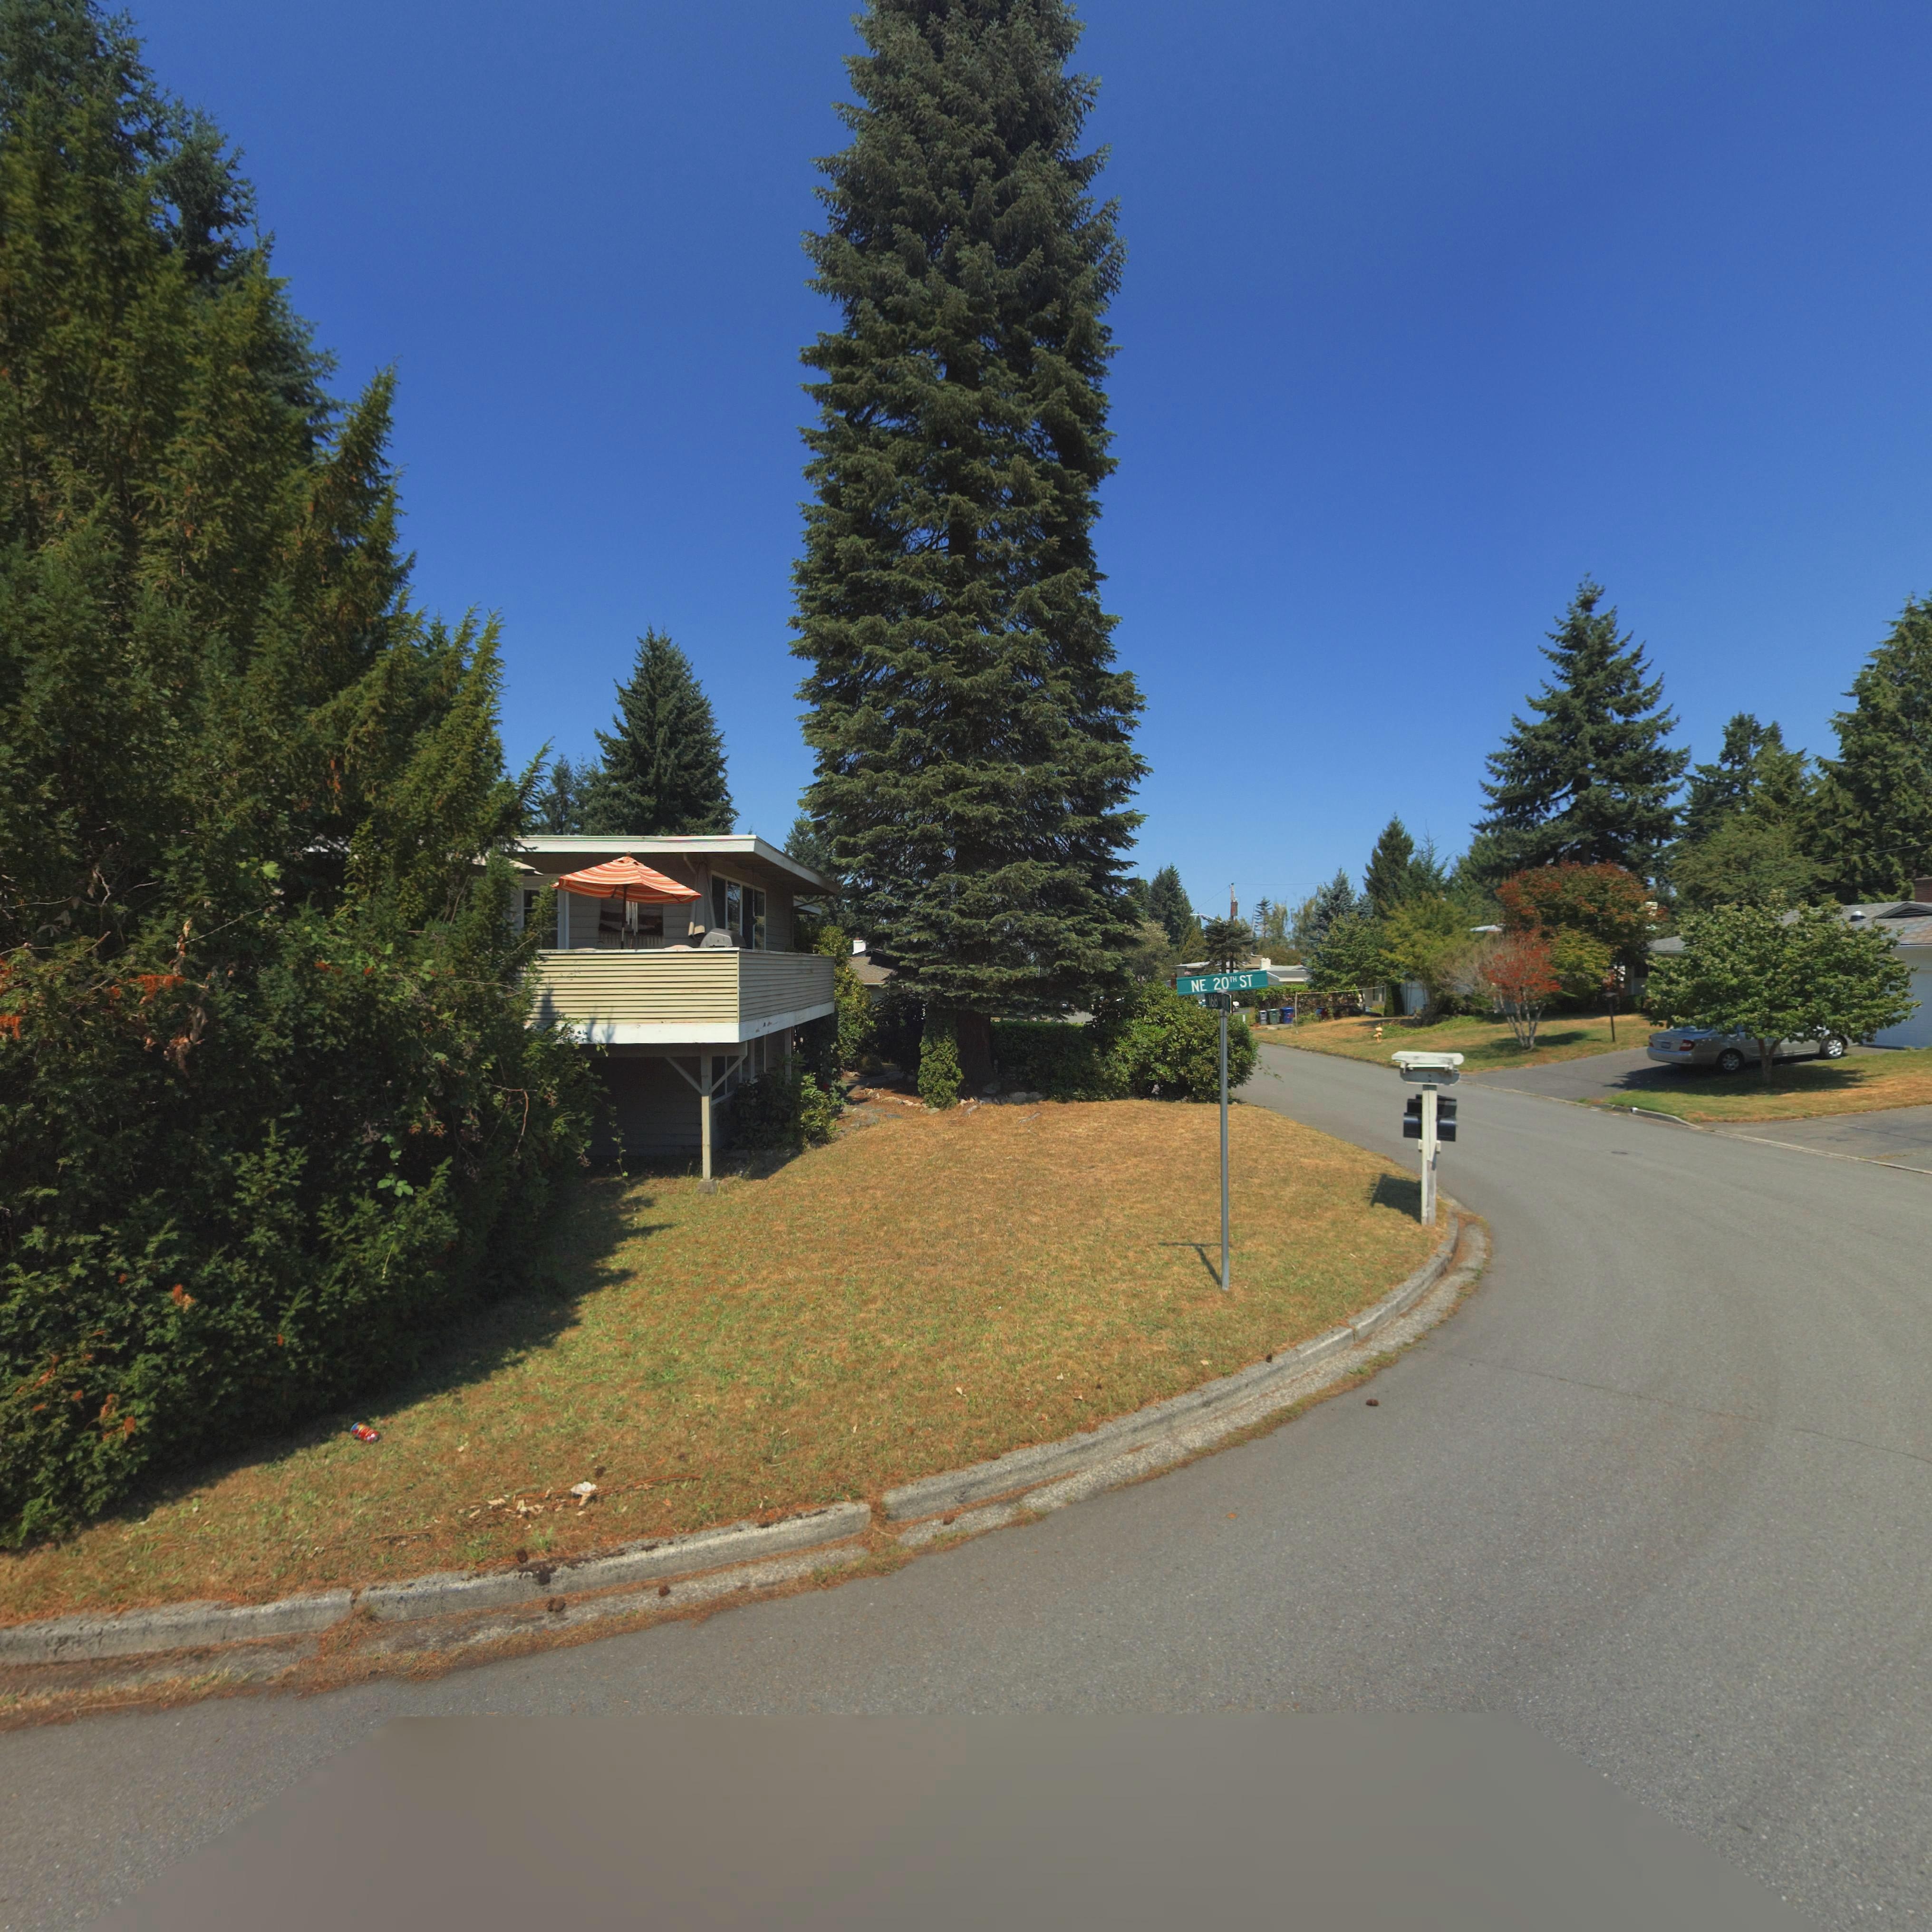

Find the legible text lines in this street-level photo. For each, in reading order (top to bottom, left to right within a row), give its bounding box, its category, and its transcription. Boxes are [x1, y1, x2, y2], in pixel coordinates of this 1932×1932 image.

[1191, 974, 1253, 992] StreetName: NE 20TH ST
[1207, 994, 1218, 1006] StreetName: 168